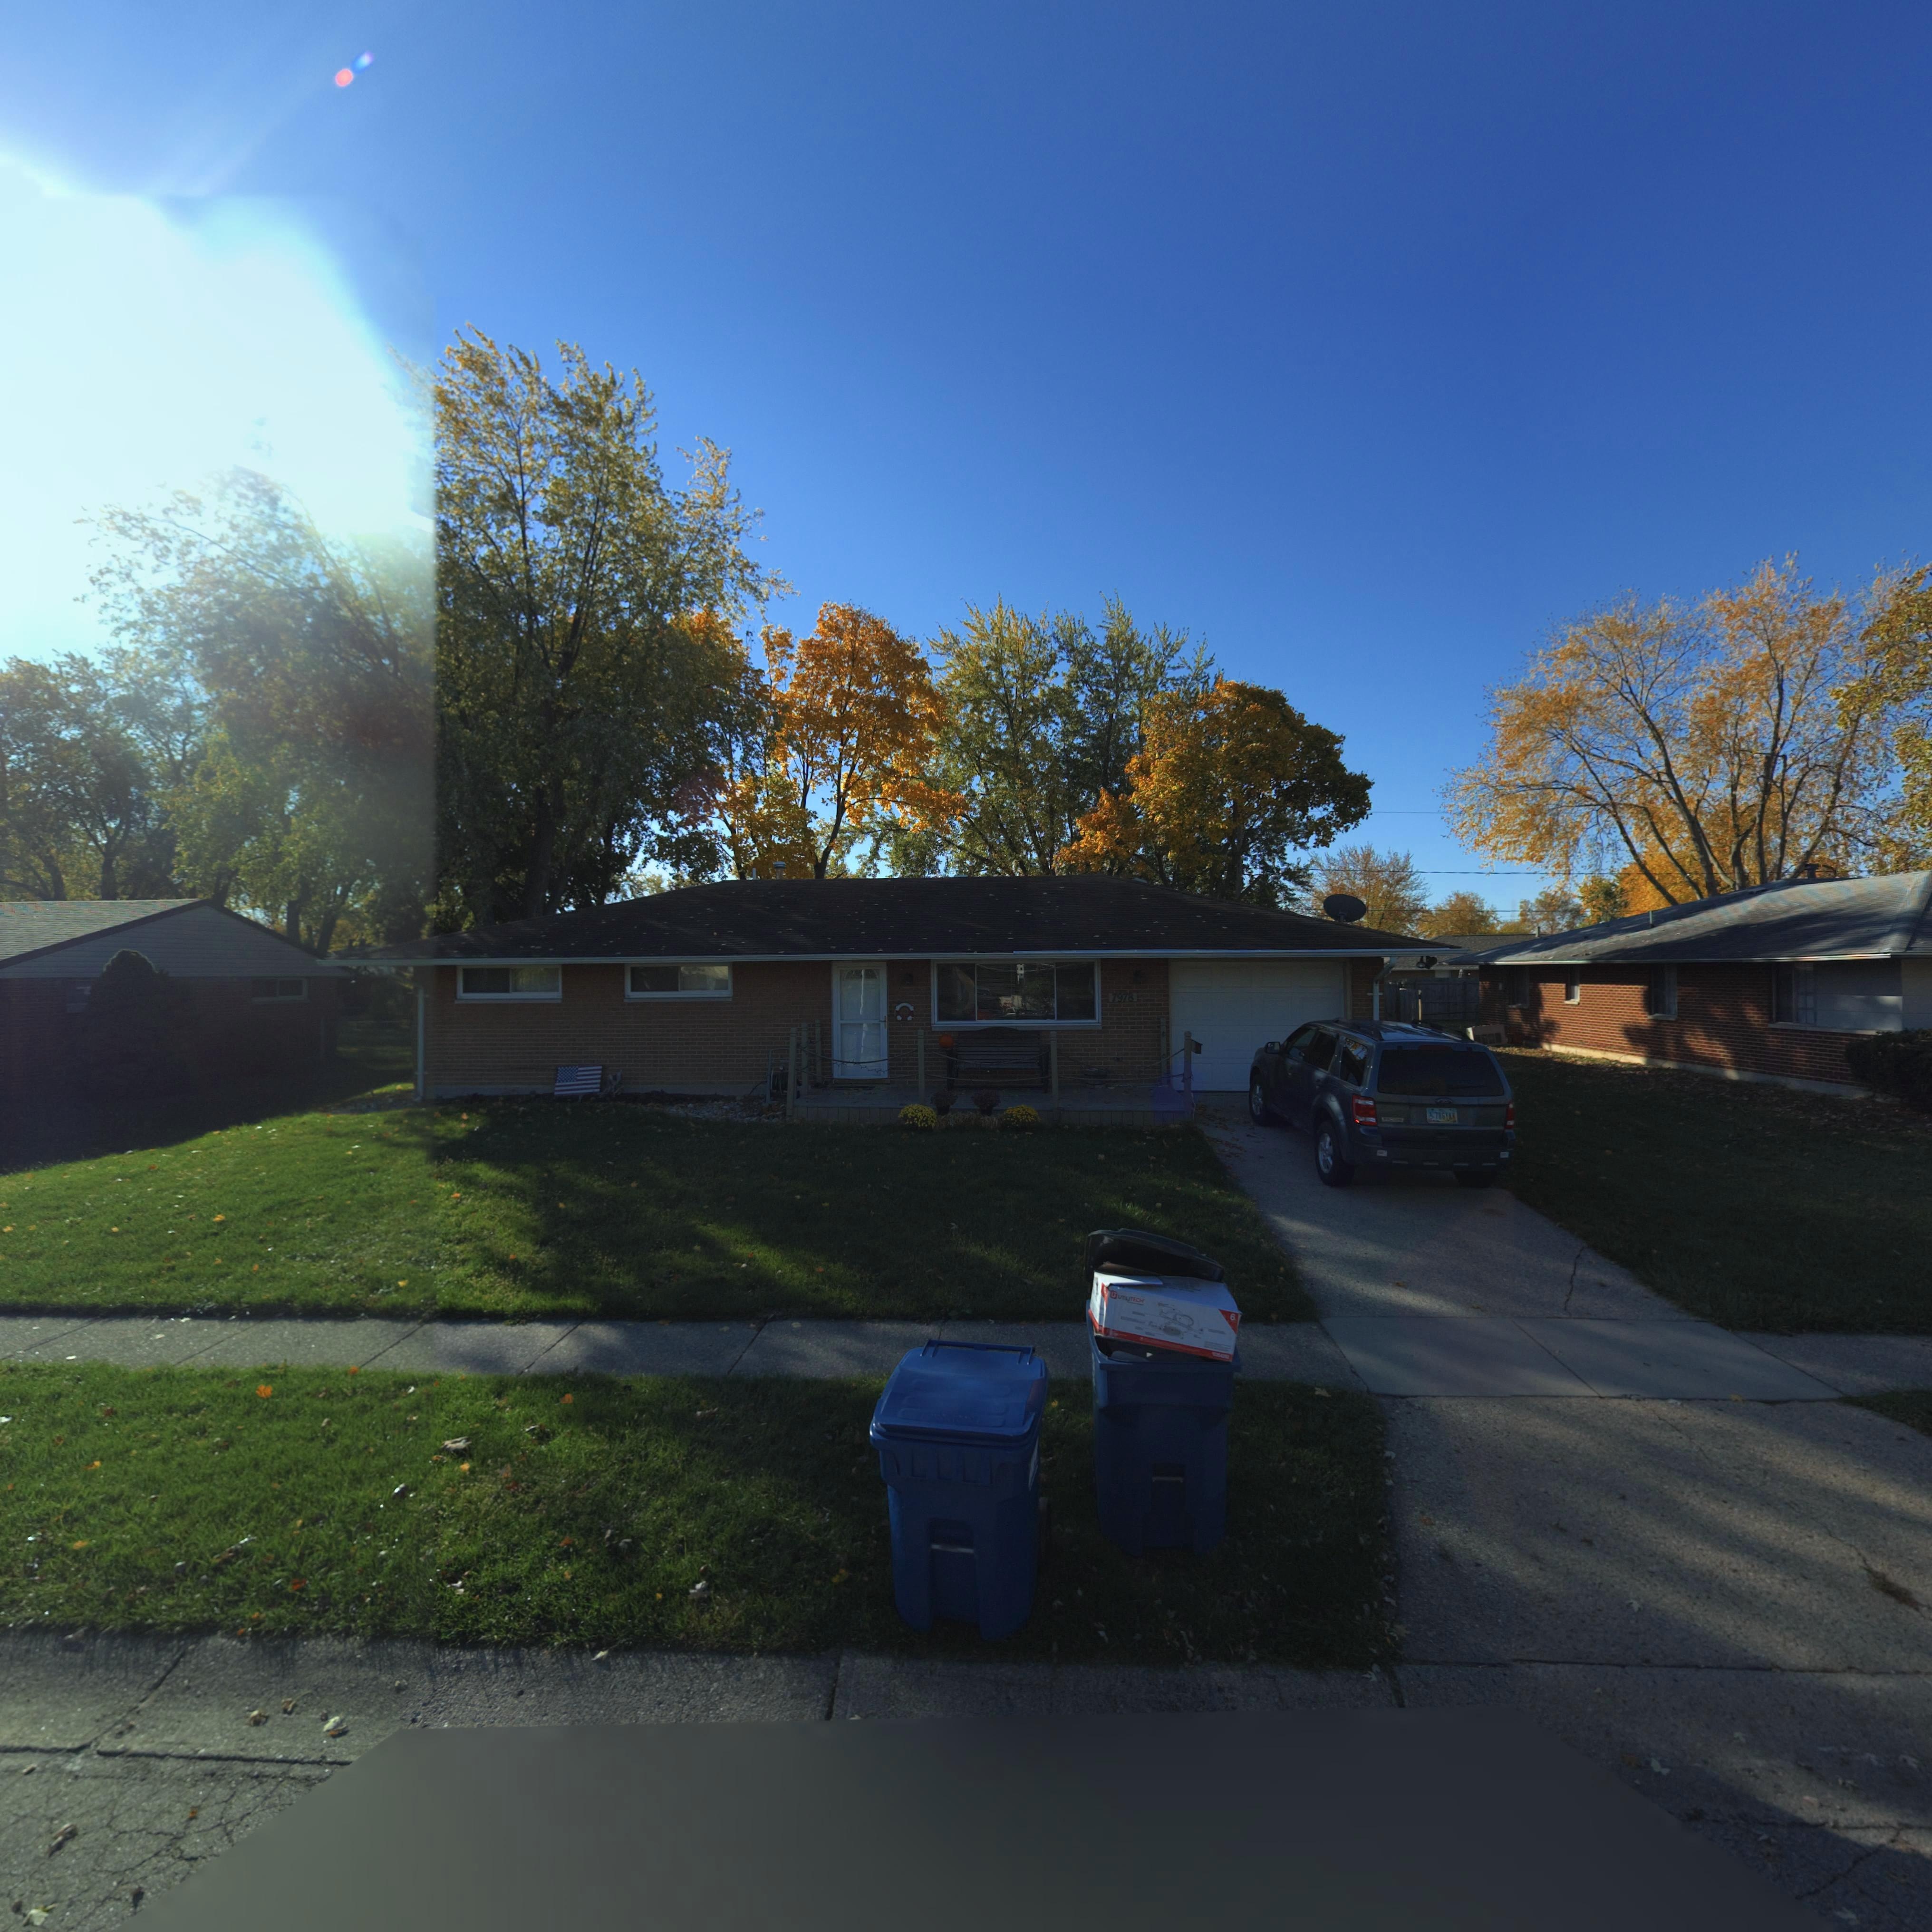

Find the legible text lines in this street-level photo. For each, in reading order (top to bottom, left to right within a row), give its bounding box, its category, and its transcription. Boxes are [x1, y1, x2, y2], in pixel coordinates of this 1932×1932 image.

[1111, 992, 1135, 1004] StreetNumber: 7978